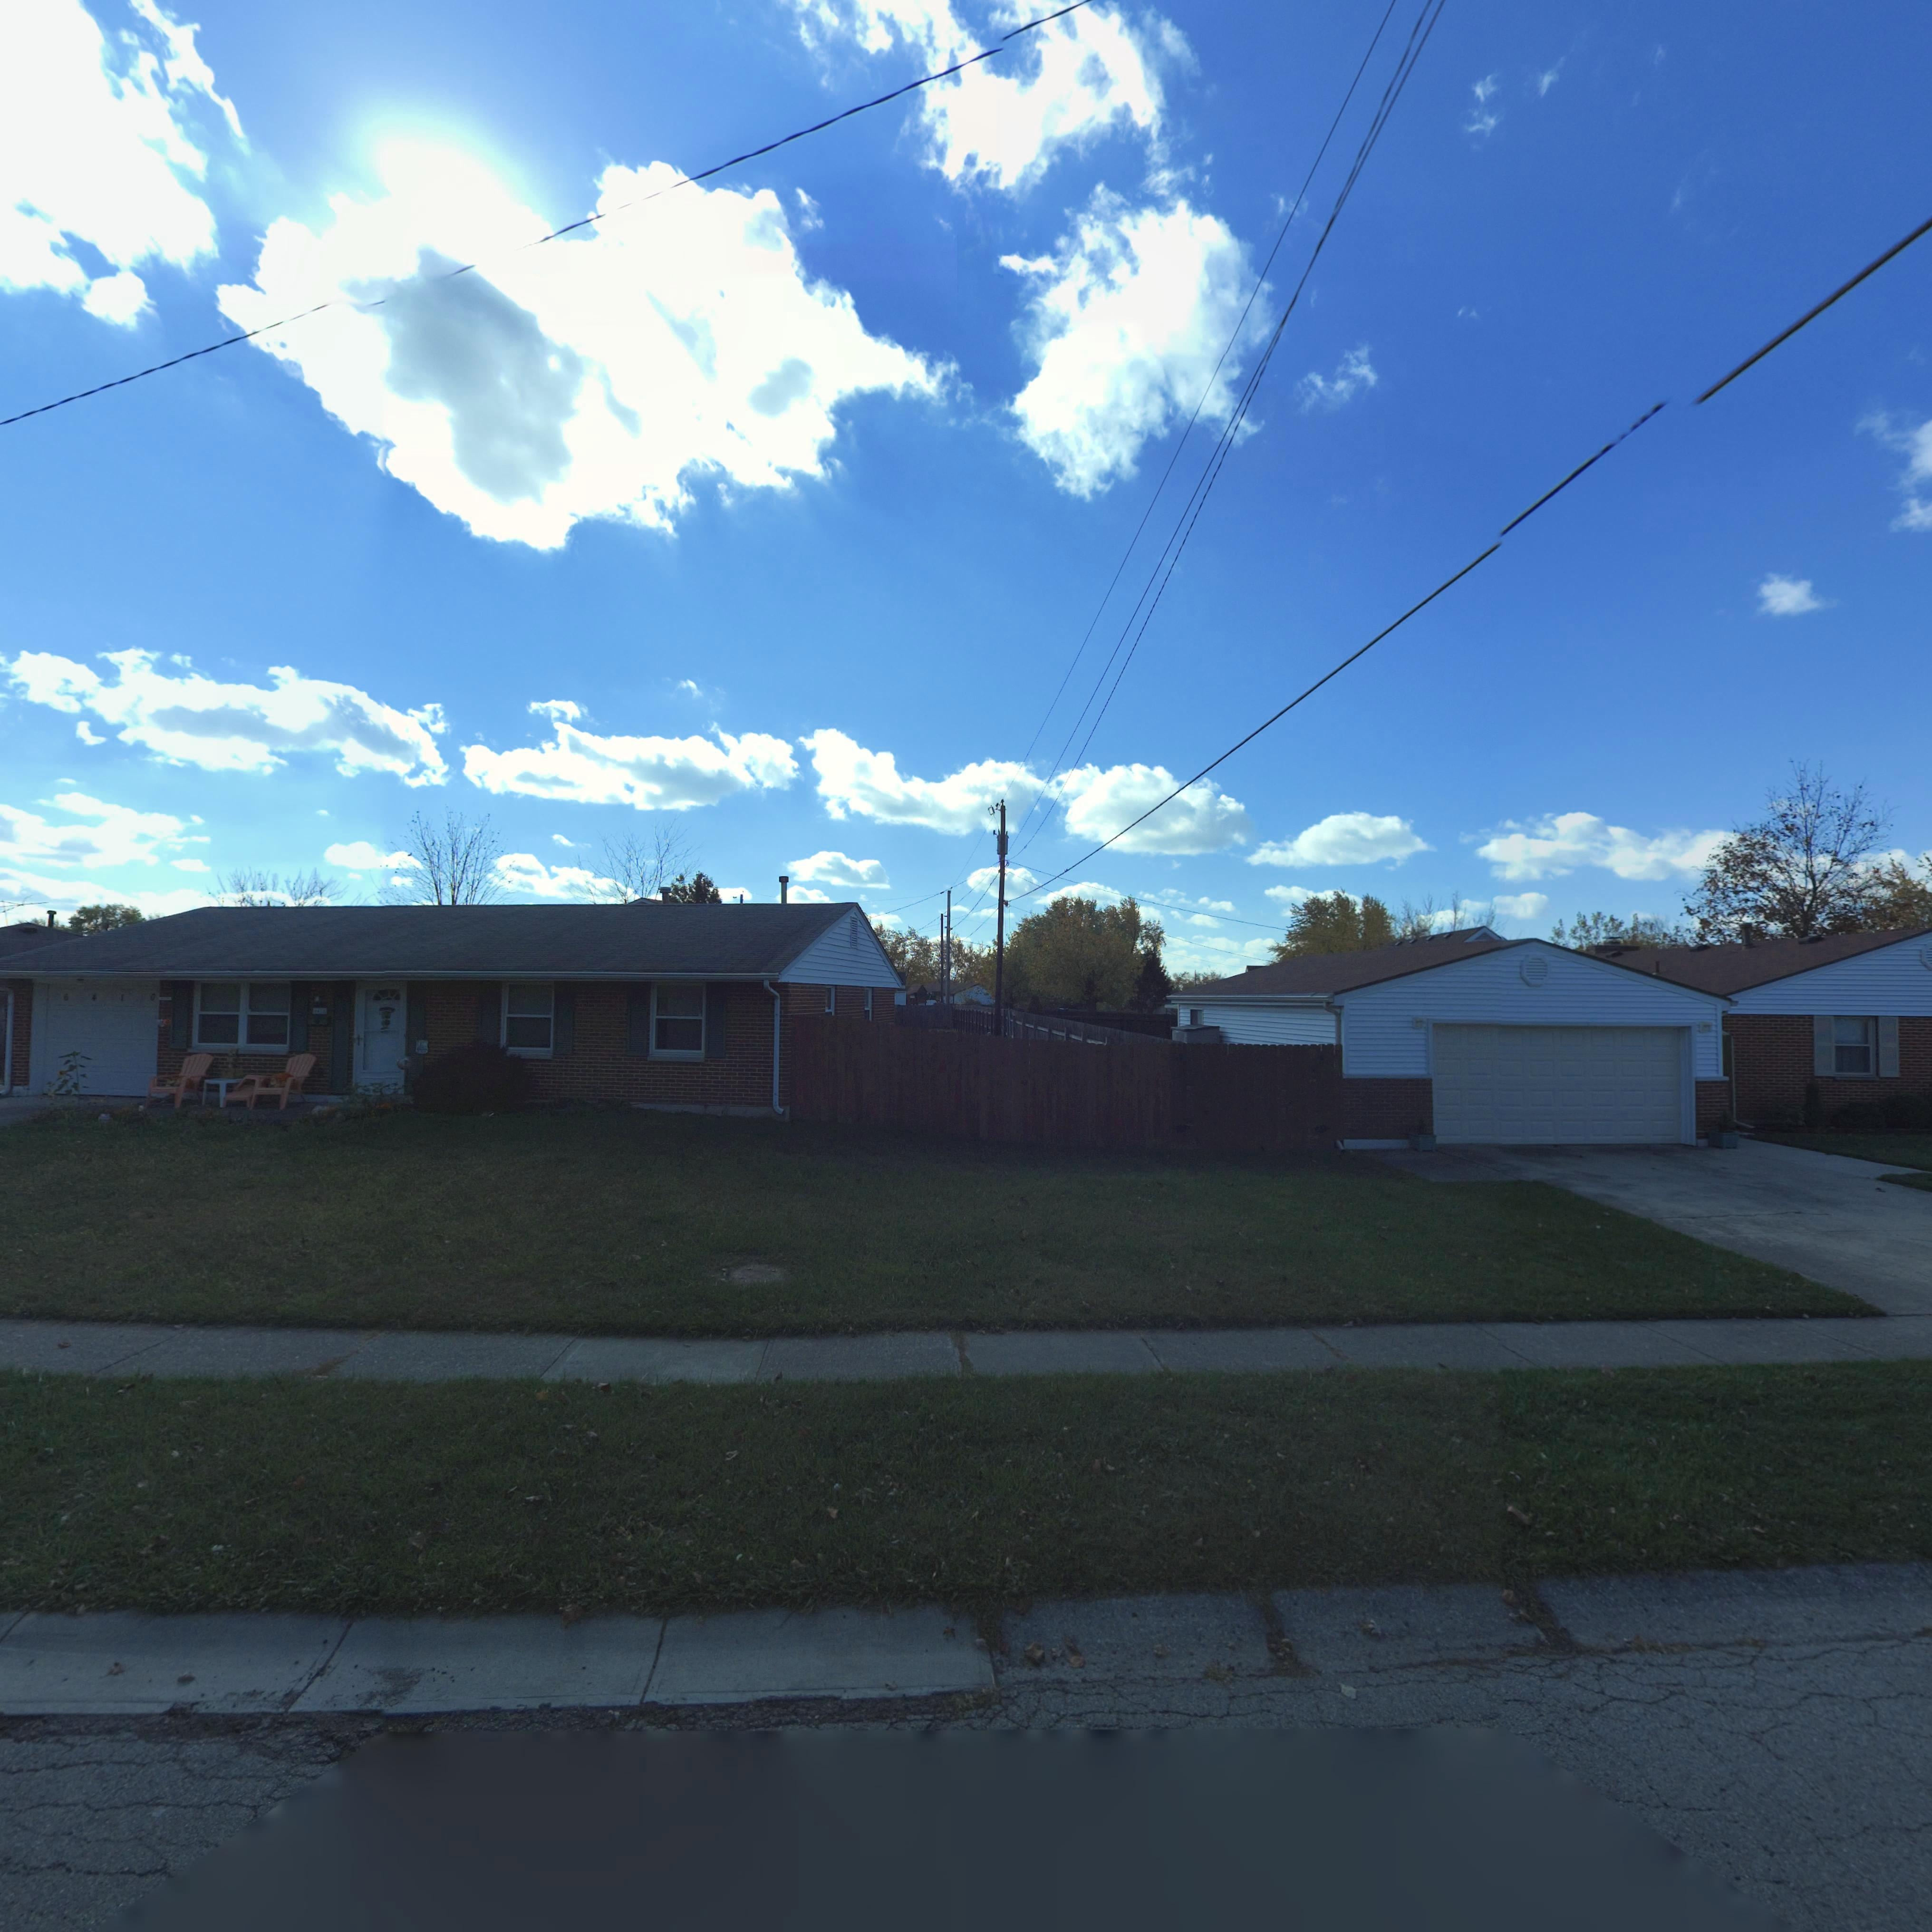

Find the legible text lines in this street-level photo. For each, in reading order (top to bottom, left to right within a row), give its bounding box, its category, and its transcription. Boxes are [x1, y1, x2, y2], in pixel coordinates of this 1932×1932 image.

[61, 992, 157, 1002] StreetNumber: 6410
[312, 1008, 327, 1014] StreetNumber: *4**